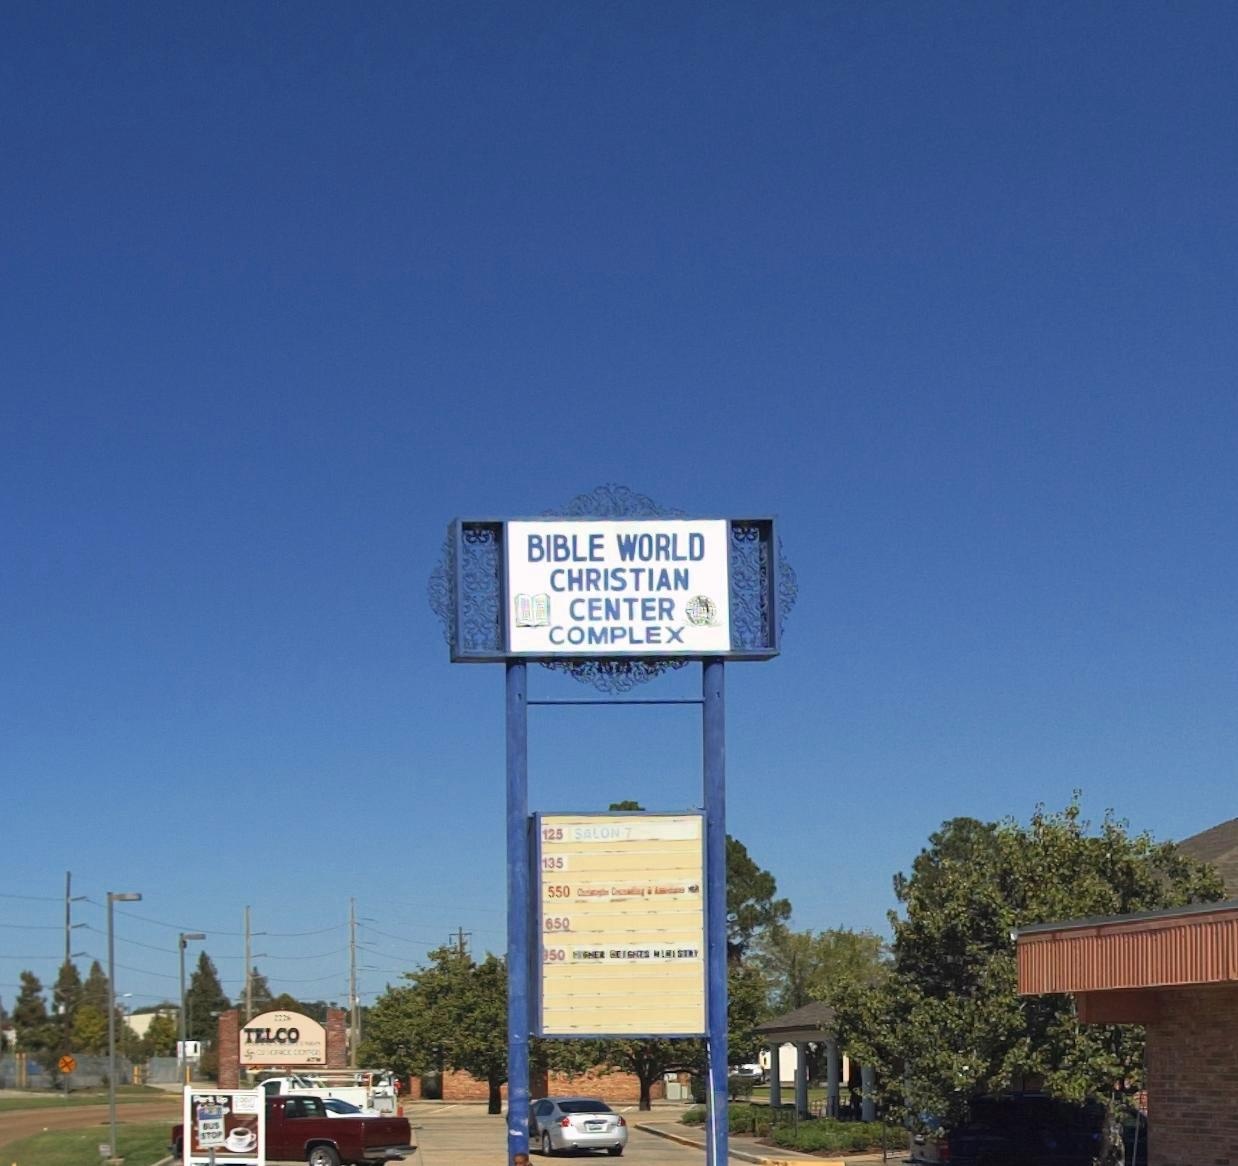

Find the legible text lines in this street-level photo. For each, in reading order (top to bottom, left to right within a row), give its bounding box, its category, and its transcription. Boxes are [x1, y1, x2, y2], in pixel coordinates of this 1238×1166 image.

[526, 530, 707, 565] BusinessName: Bible World Christian Center Complex
[547, 565, 693, 594] BusinessName: CHRISTIAN
[566, 595, 678, 624] BusinessName: CENTER
[546, 623, 688, 648] BusinessName: COMPLEX
[540, 825, 566, 843] None: 125
[571, 823, 636, 842] BusinessName: SALON 7
[540, 854, 567, 870] None: 135
[545, 883, 573, 901] None: 550
[543, 915, 573, 933] None: 650
[547, 946, 568, 964] None: 50
[272, 1012, 294, 1024] StreetNumber: 2226
[241, 1025, 302, 1046] BusinessName: TELCO
[200, 1119, 223, 1132] None: BUS
[198, 1128, 226, 1143] None: STOP